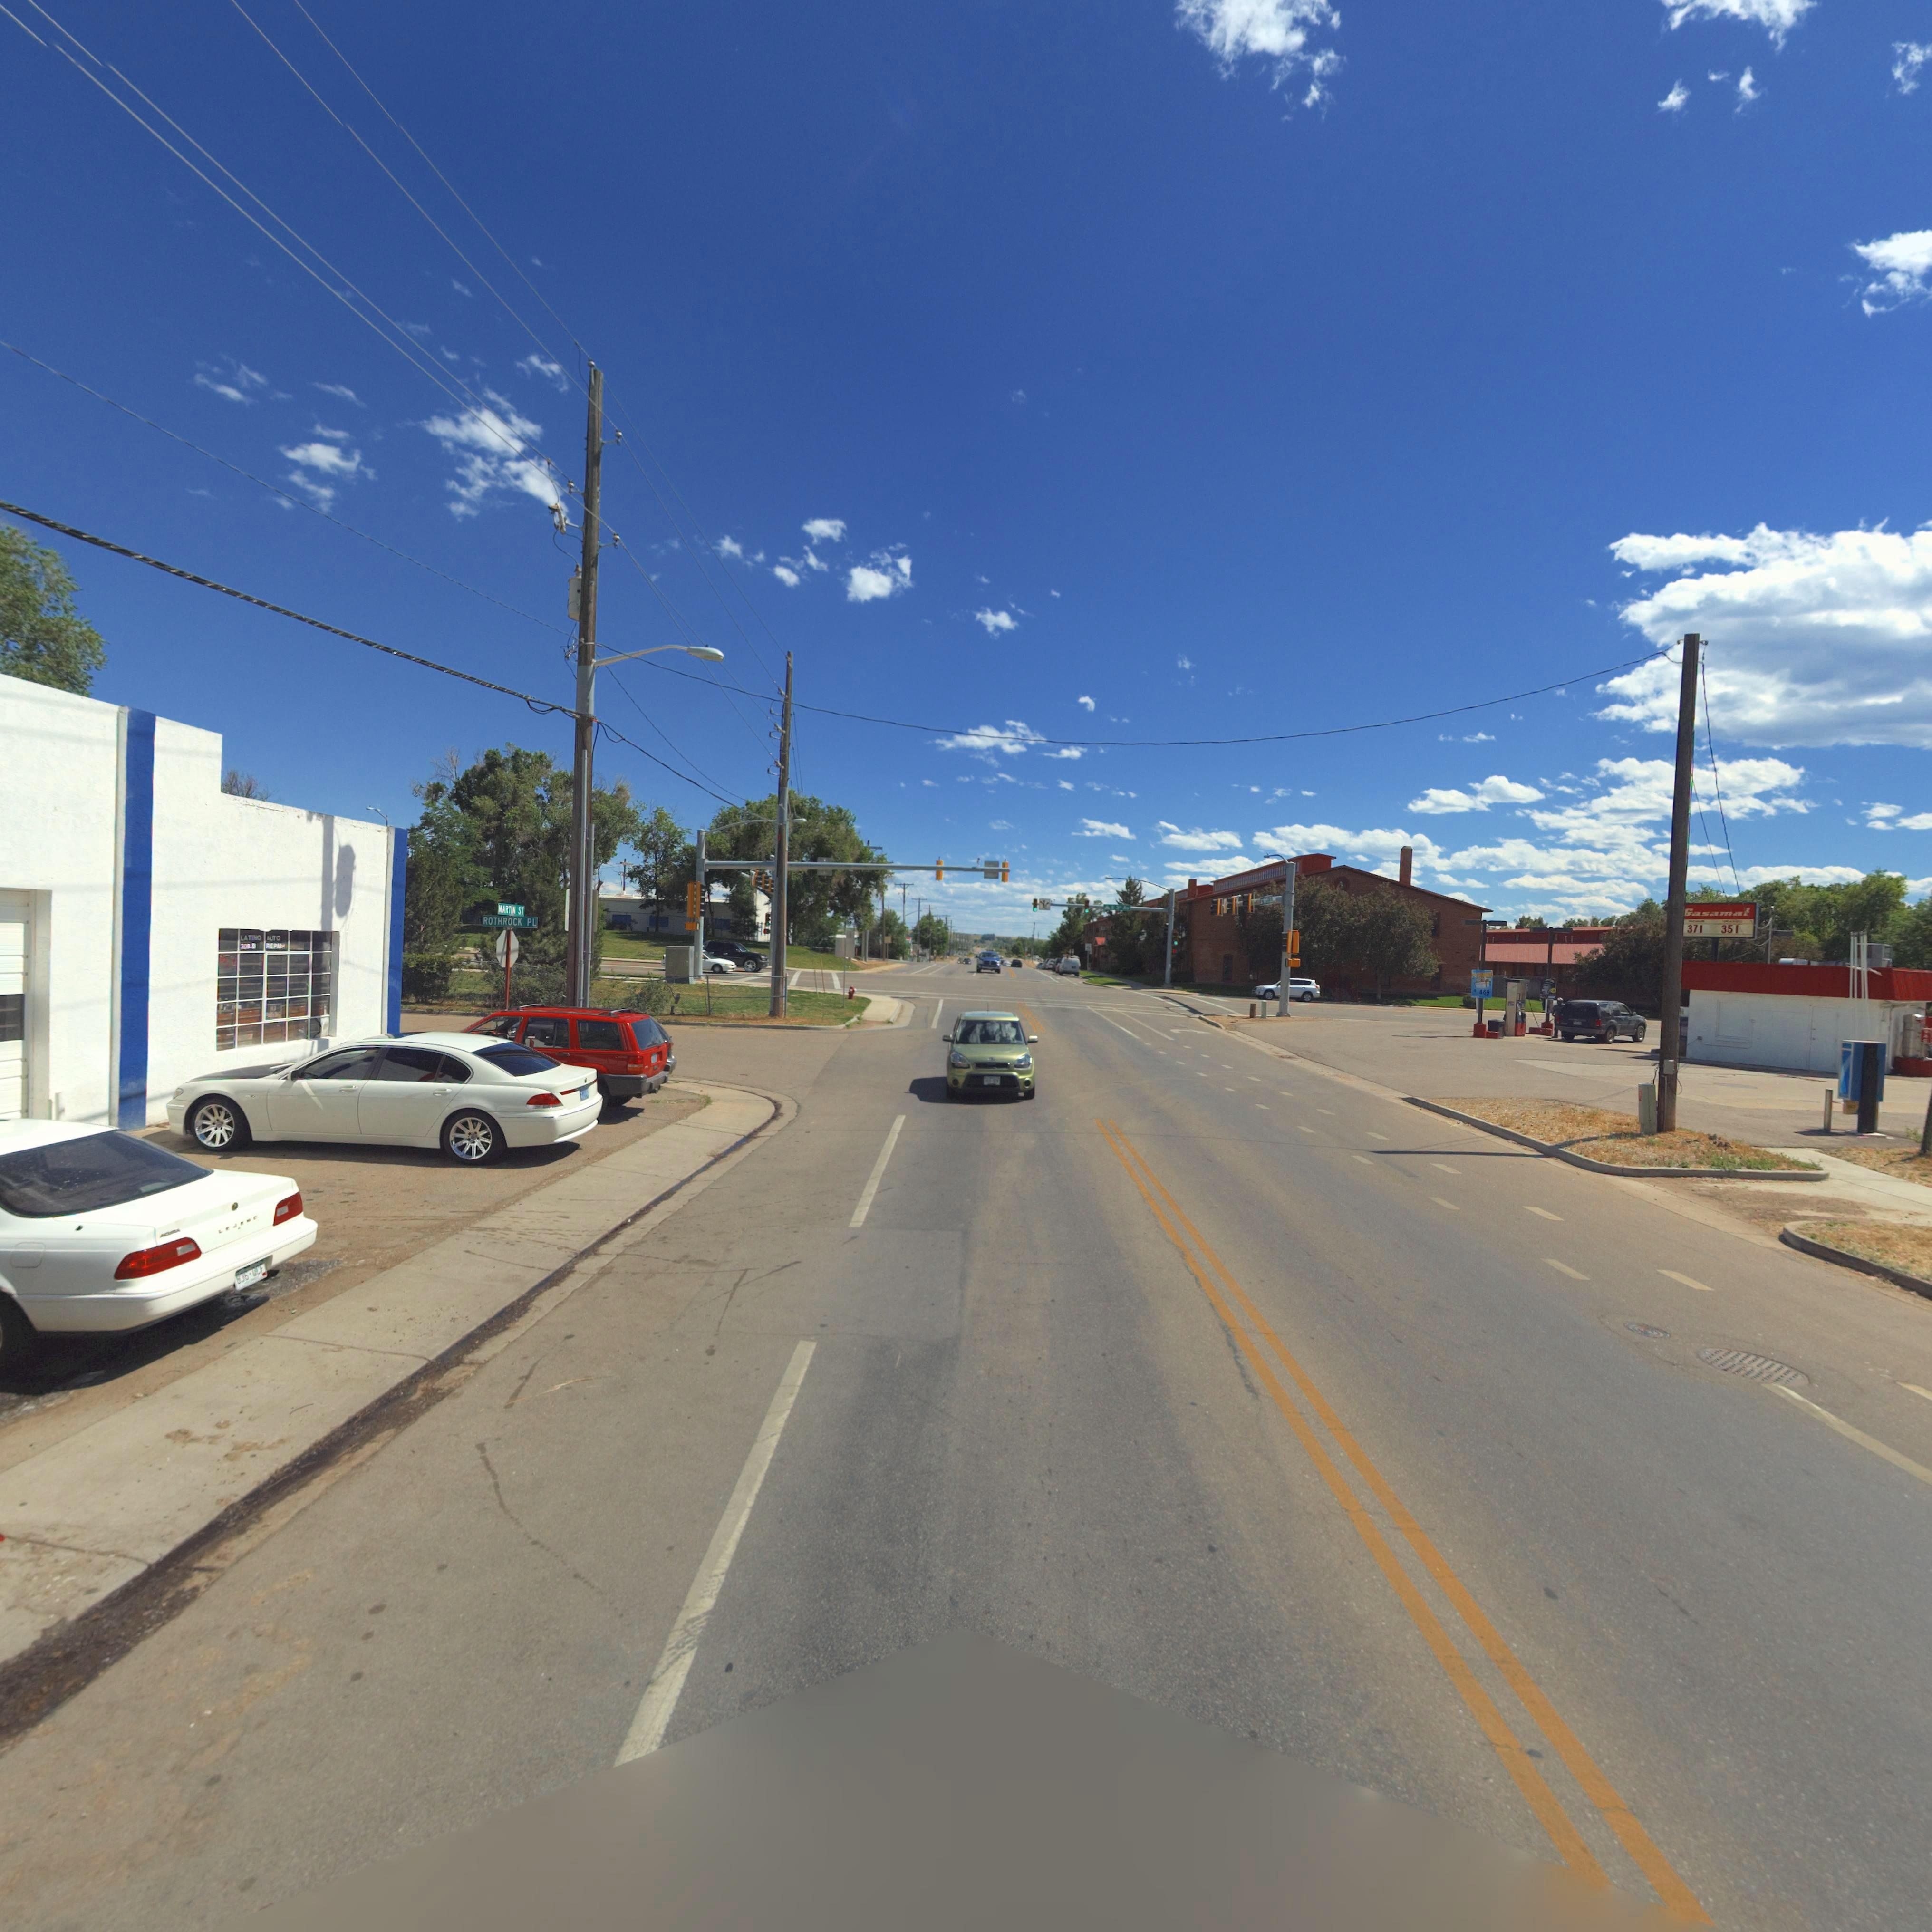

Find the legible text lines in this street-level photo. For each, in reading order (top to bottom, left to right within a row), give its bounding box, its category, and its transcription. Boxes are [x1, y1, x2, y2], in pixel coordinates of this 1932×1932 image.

[1260, 895, 1273, 904] StreetName: **** S*
[498, 904, 524, 916] StreetName: MARTIN ST
[1111, 905, 1130, 910] StreetName: E 3rd Av
[1683, 907, 1751, 917] BusinessName: Gasamat
[483, 916, 537, 927] StreetName: ROTHROCK PL
[239, 934, 262, 941] BusinessName: LATINO
[265, 935, 281, 941] BusinessName: AUTO
[239, 942, 257, 950] StreetNumber: 308.B
[265, 941, 286, 949] BusinessName: REPAIR